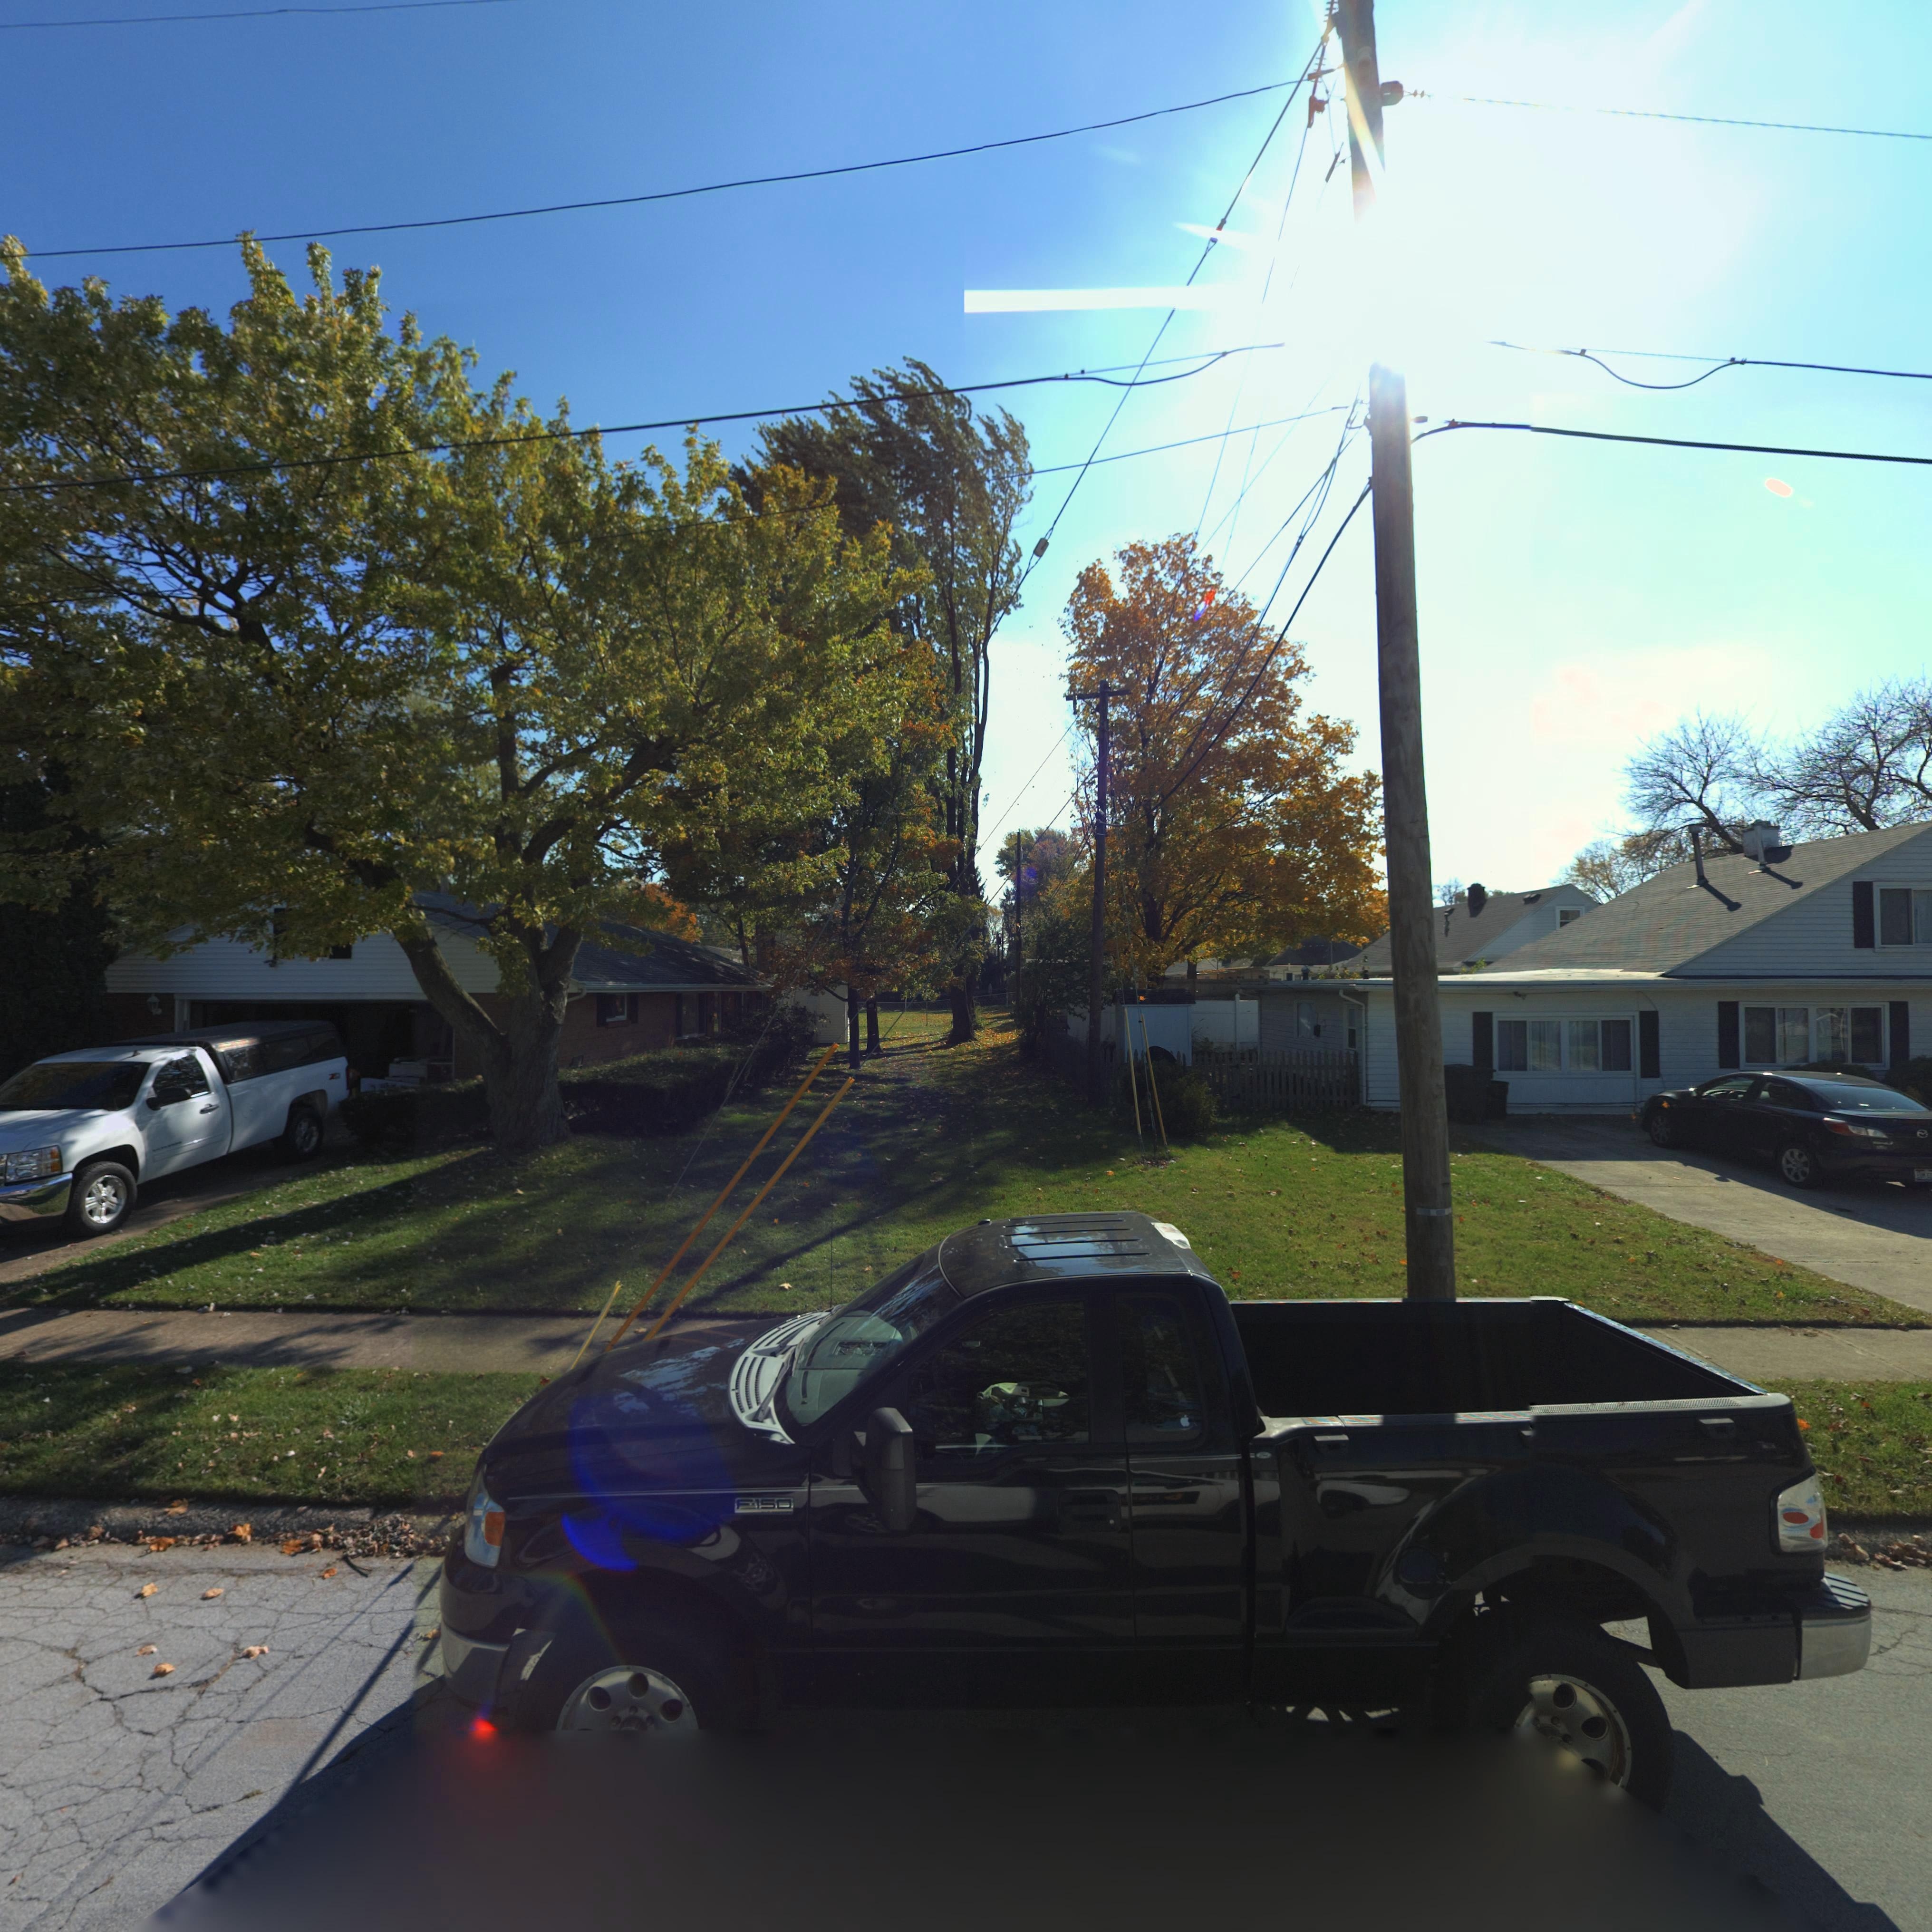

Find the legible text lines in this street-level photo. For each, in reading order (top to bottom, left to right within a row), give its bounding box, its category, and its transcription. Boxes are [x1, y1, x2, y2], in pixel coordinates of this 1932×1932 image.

[734, 1497, 793, 1511] None: F150